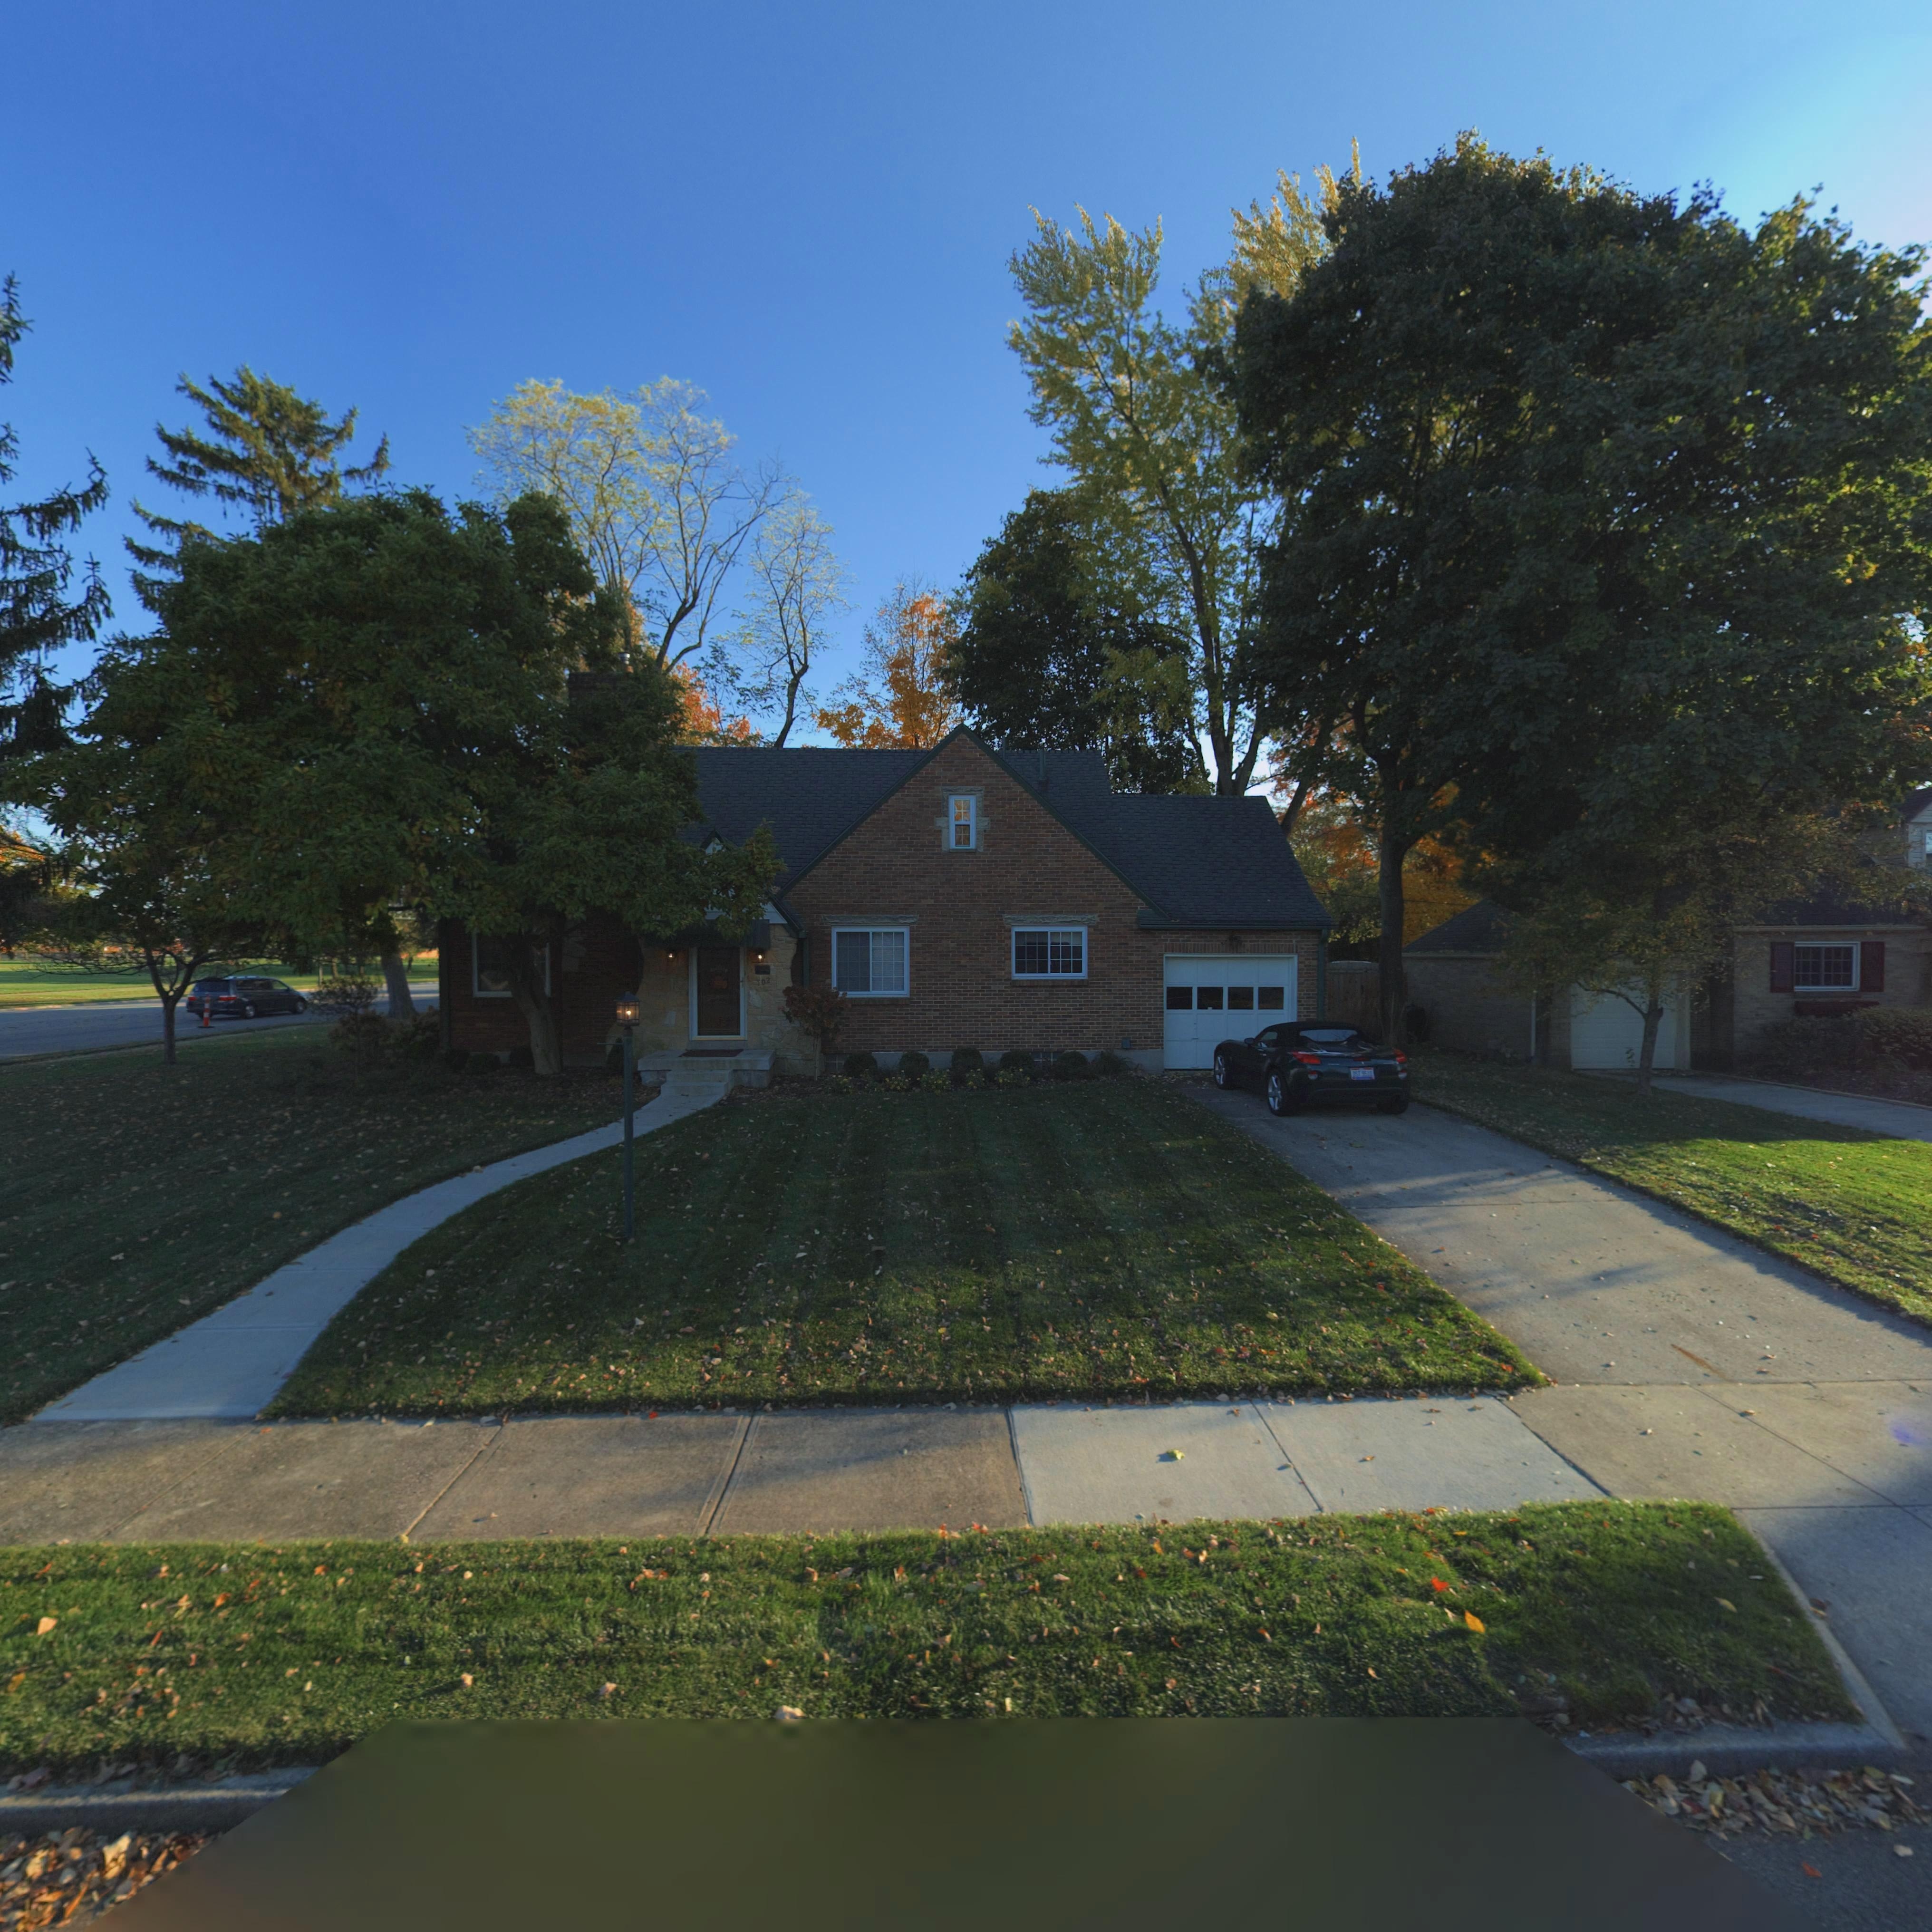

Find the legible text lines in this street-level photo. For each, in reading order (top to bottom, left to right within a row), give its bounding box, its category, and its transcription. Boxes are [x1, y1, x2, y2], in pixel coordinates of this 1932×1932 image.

[755, 976, 772, 987] StreetNumber: 102